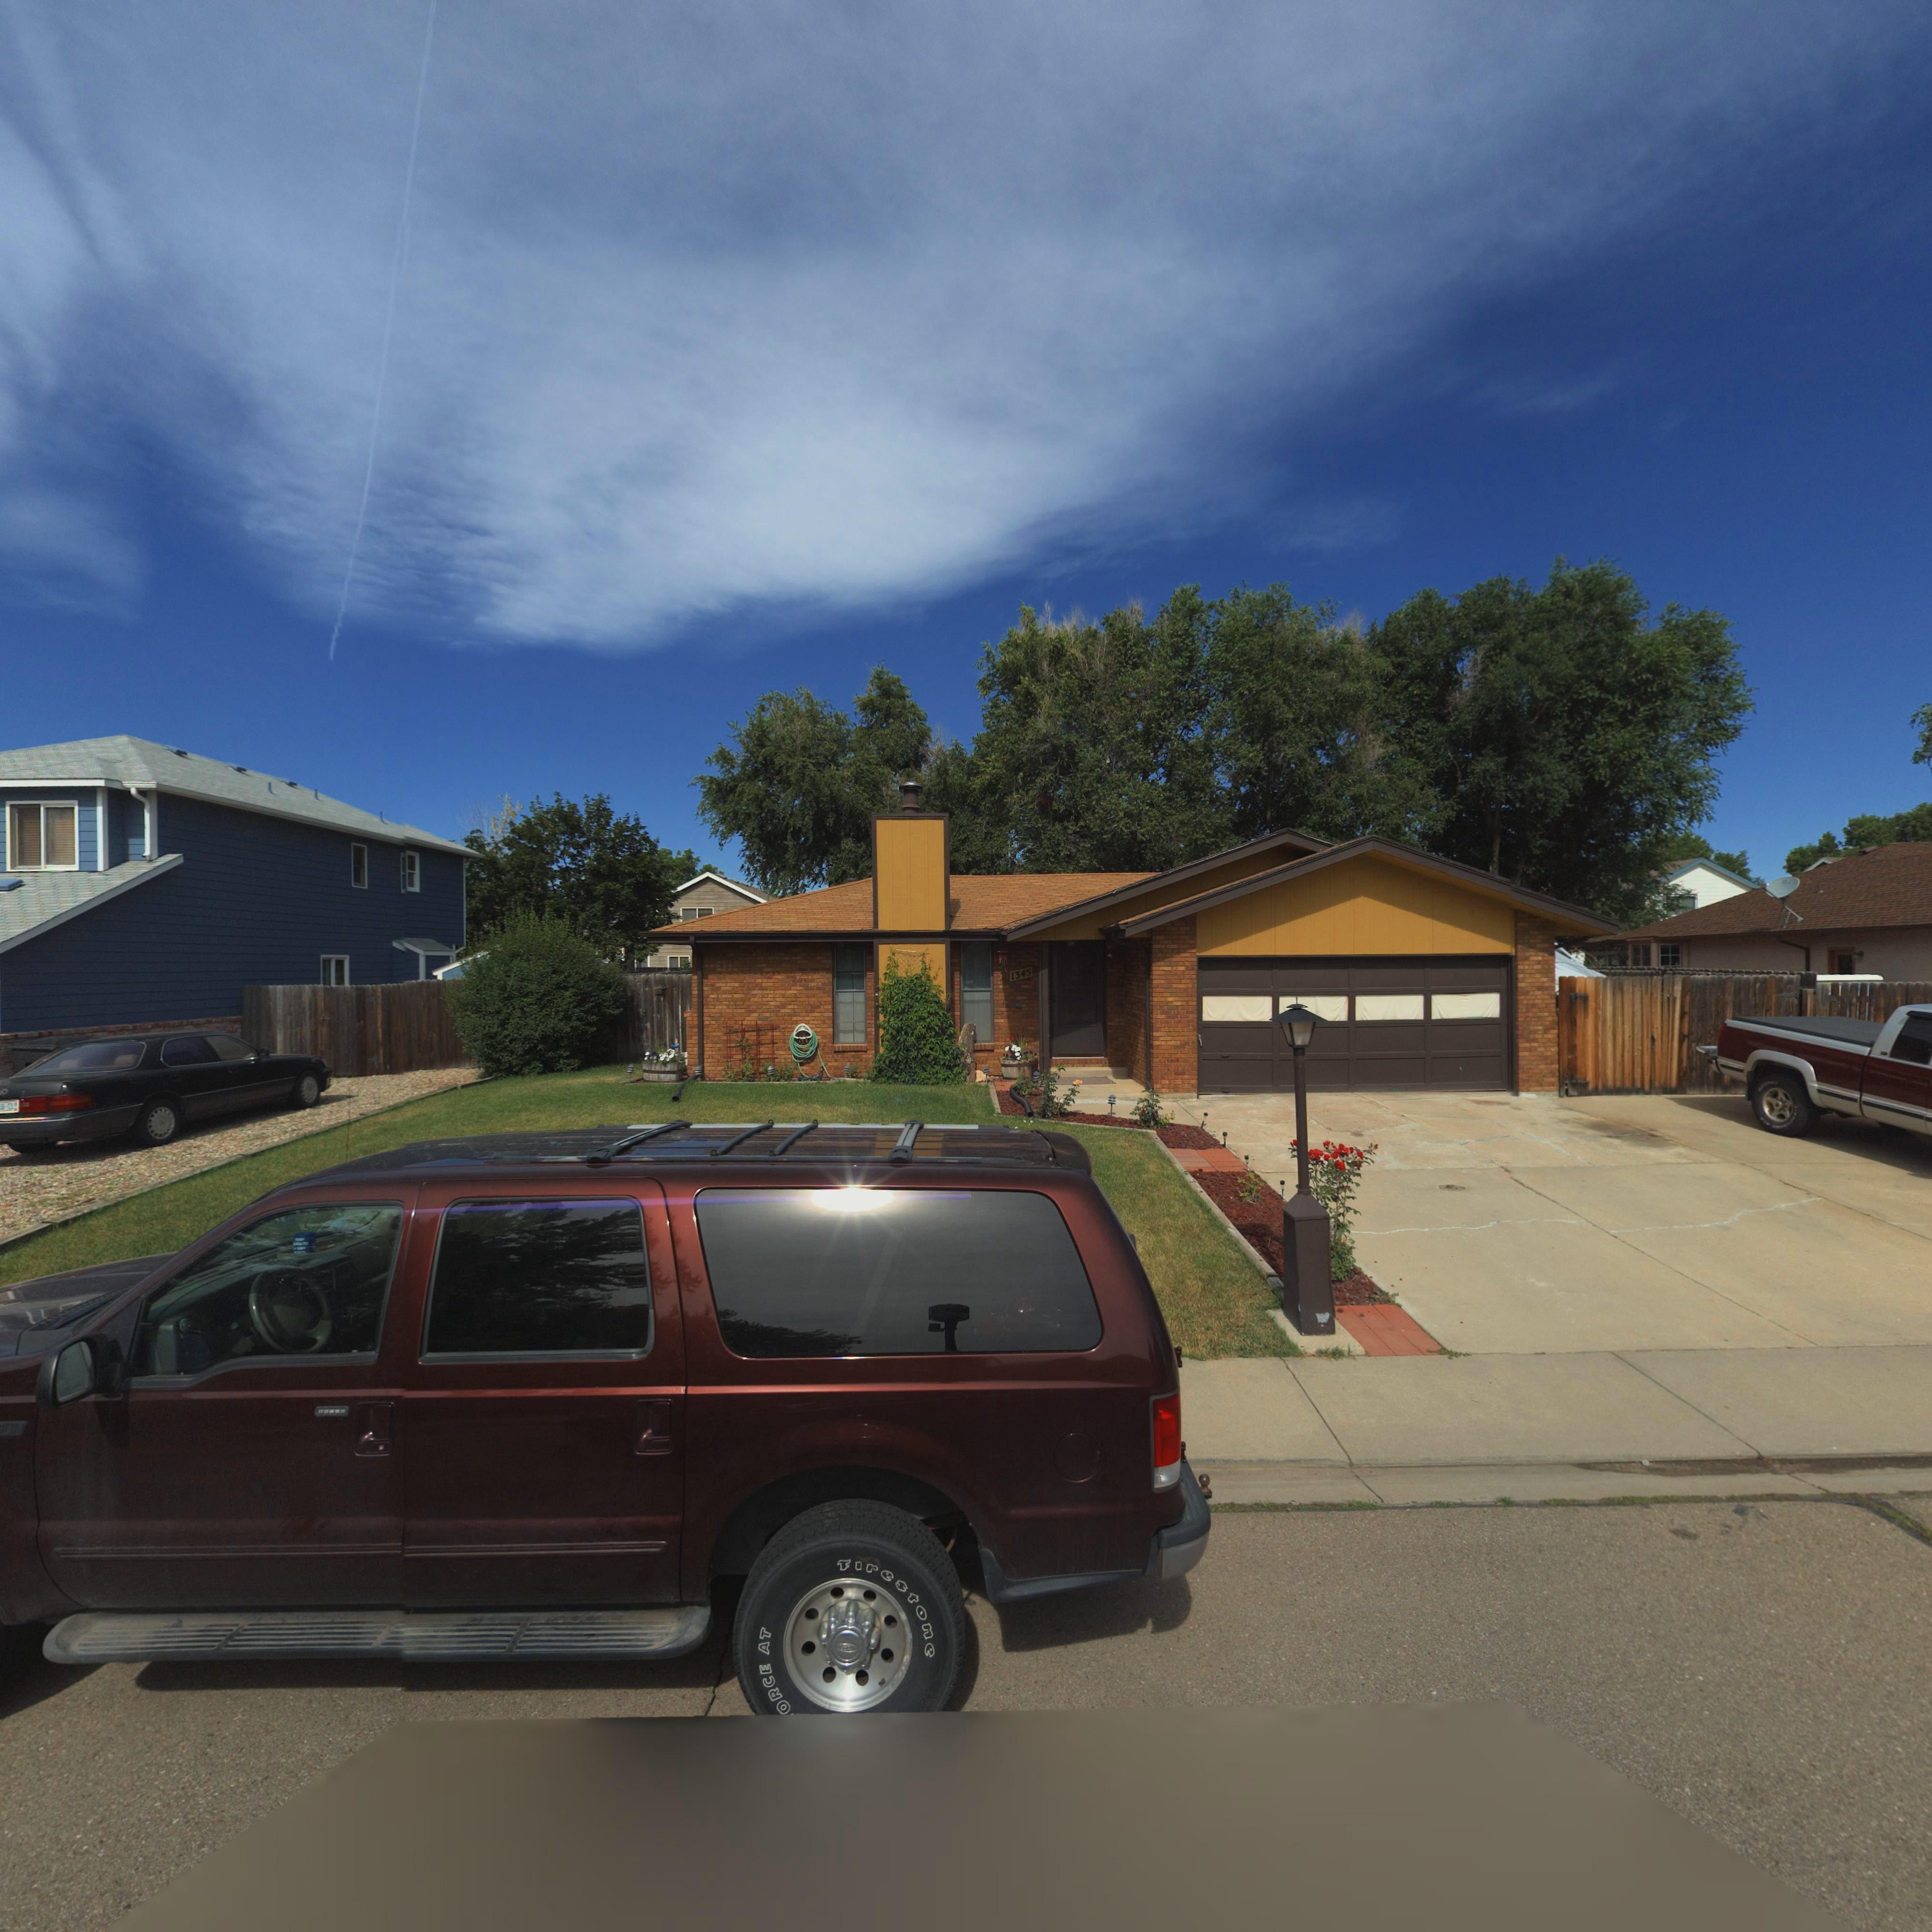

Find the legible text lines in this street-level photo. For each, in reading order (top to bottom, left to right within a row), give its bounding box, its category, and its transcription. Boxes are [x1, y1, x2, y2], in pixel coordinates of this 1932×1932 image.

[1011, 967, 1031, 981] StreetNumber: 1345